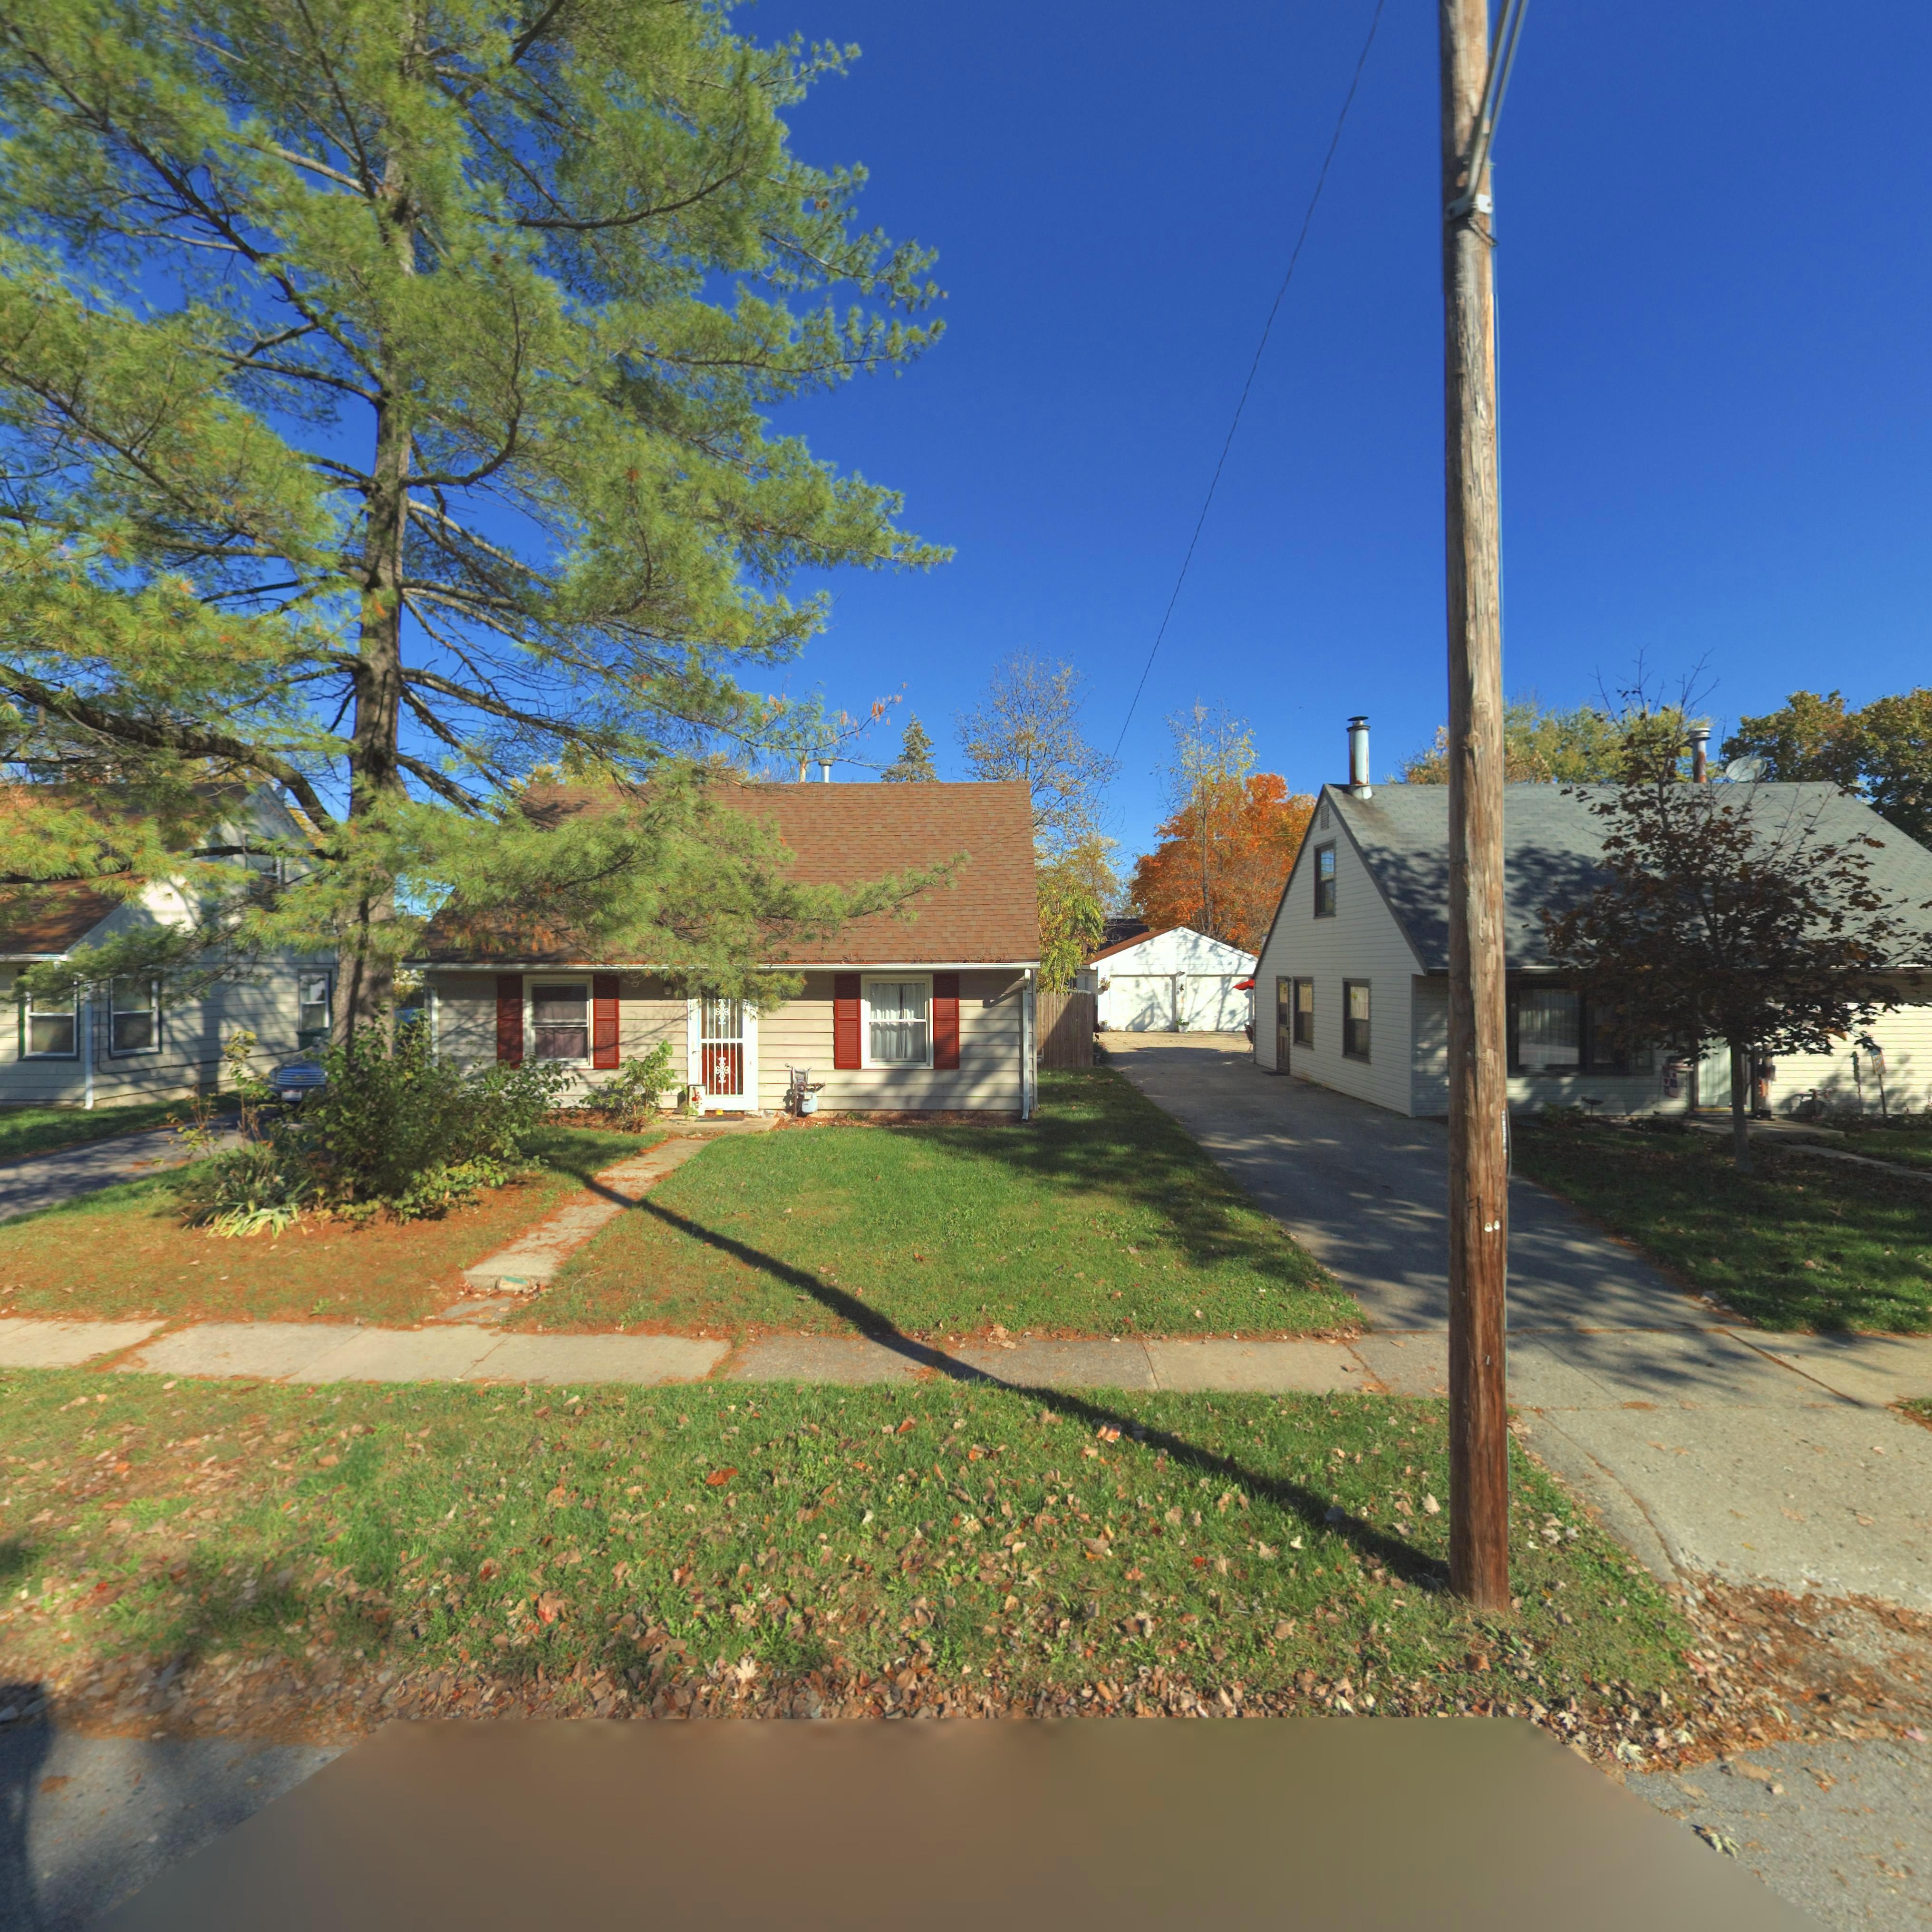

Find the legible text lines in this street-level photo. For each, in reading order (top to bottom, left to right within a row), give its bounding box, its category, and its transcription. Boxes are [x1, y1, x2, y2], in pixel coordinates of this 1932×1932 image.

[688, 998, 692, 1021] StreetNumber: **25